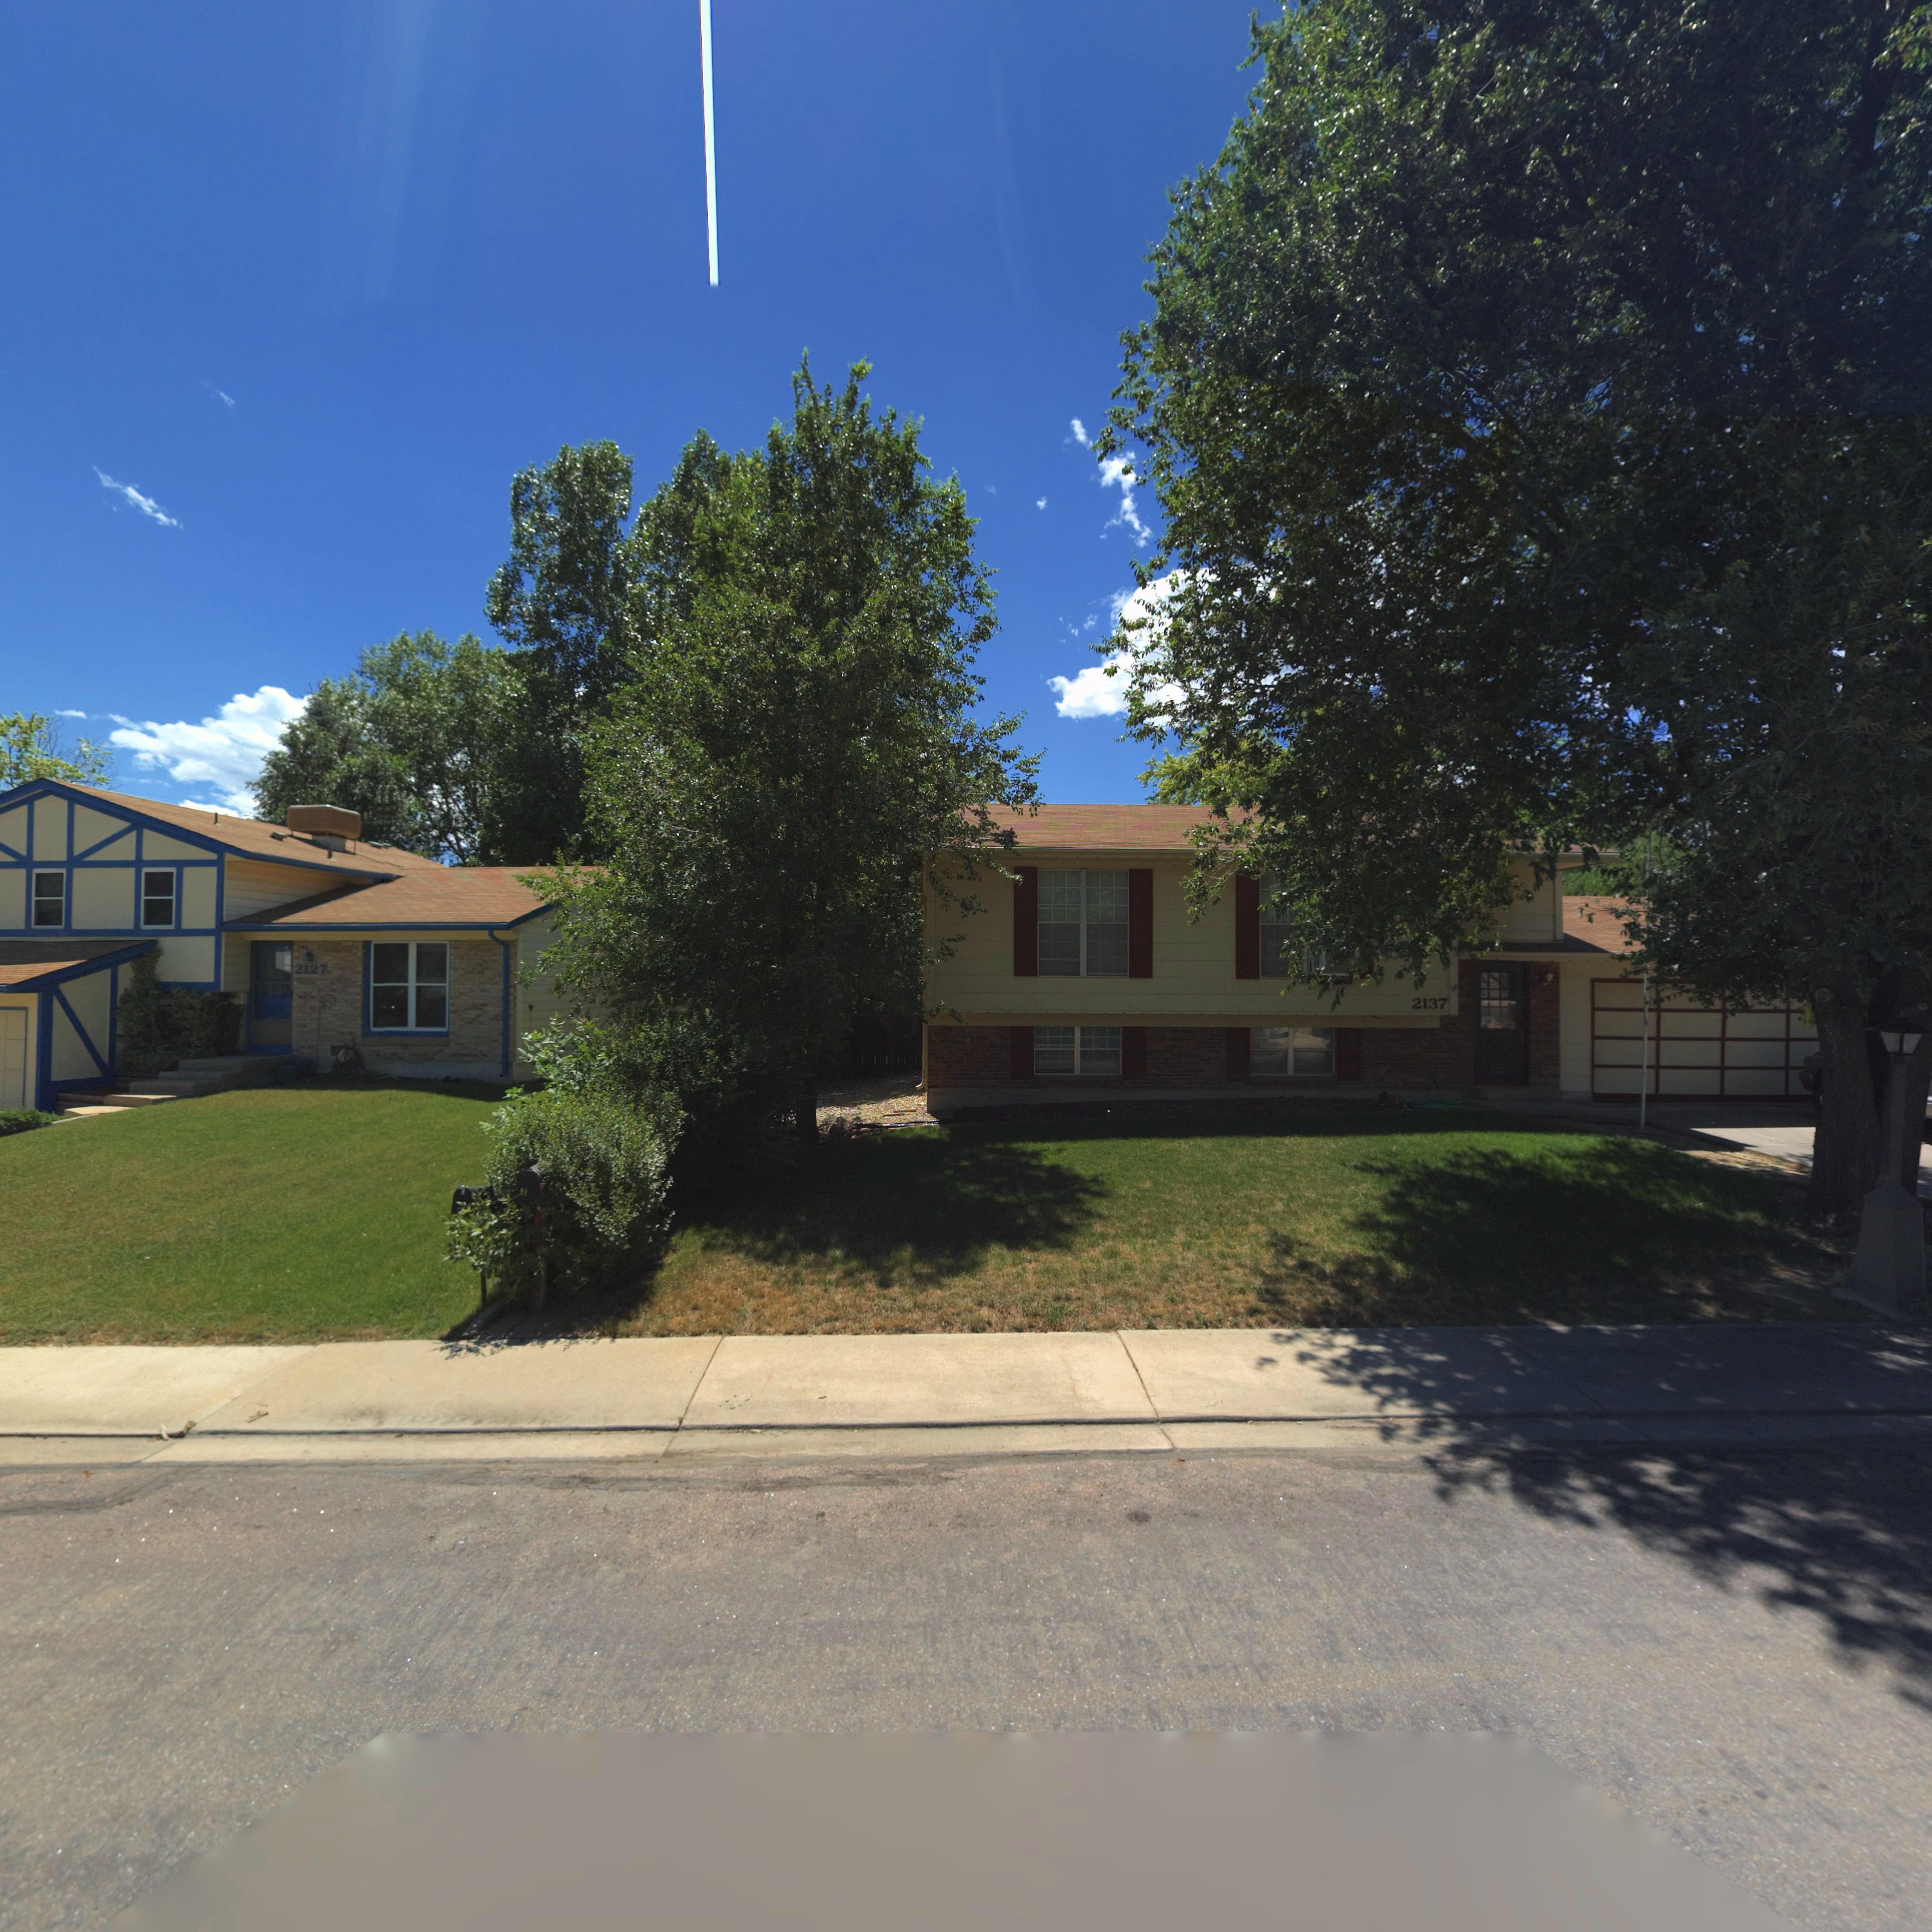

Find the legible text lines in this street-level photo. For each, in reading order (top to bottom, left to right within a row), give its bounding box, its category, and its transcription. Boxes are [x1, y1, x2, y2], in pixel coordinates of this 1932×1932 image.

[293, 963, 328, 975] StreetNumber: 2127
[1411, 997, 1449, 1010] StreetNumber: 2137